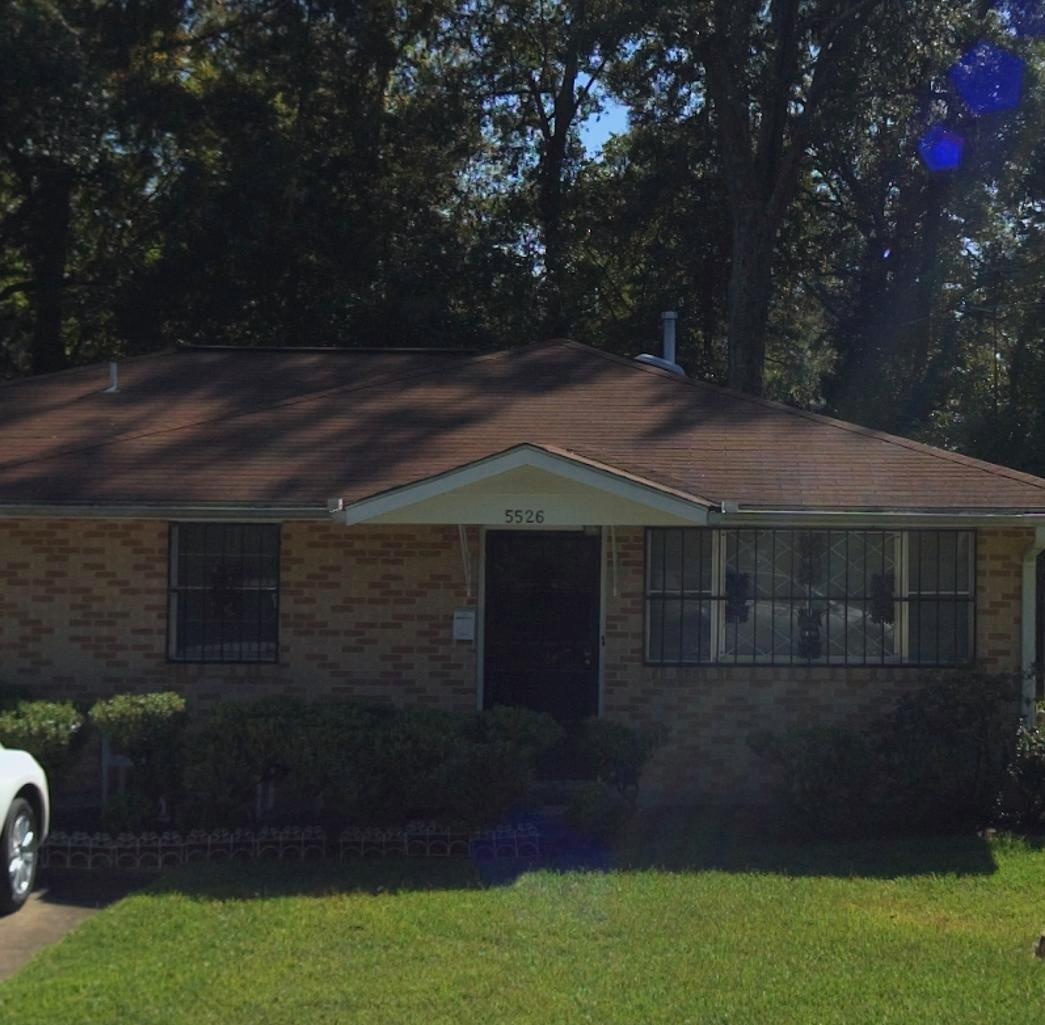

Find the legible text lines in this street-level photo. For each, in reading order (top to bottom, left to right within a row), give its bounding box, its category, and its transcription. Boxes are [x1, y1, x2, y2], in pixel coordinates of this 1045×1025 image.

[505, 508, 545, 525] StreetNumber: 5526